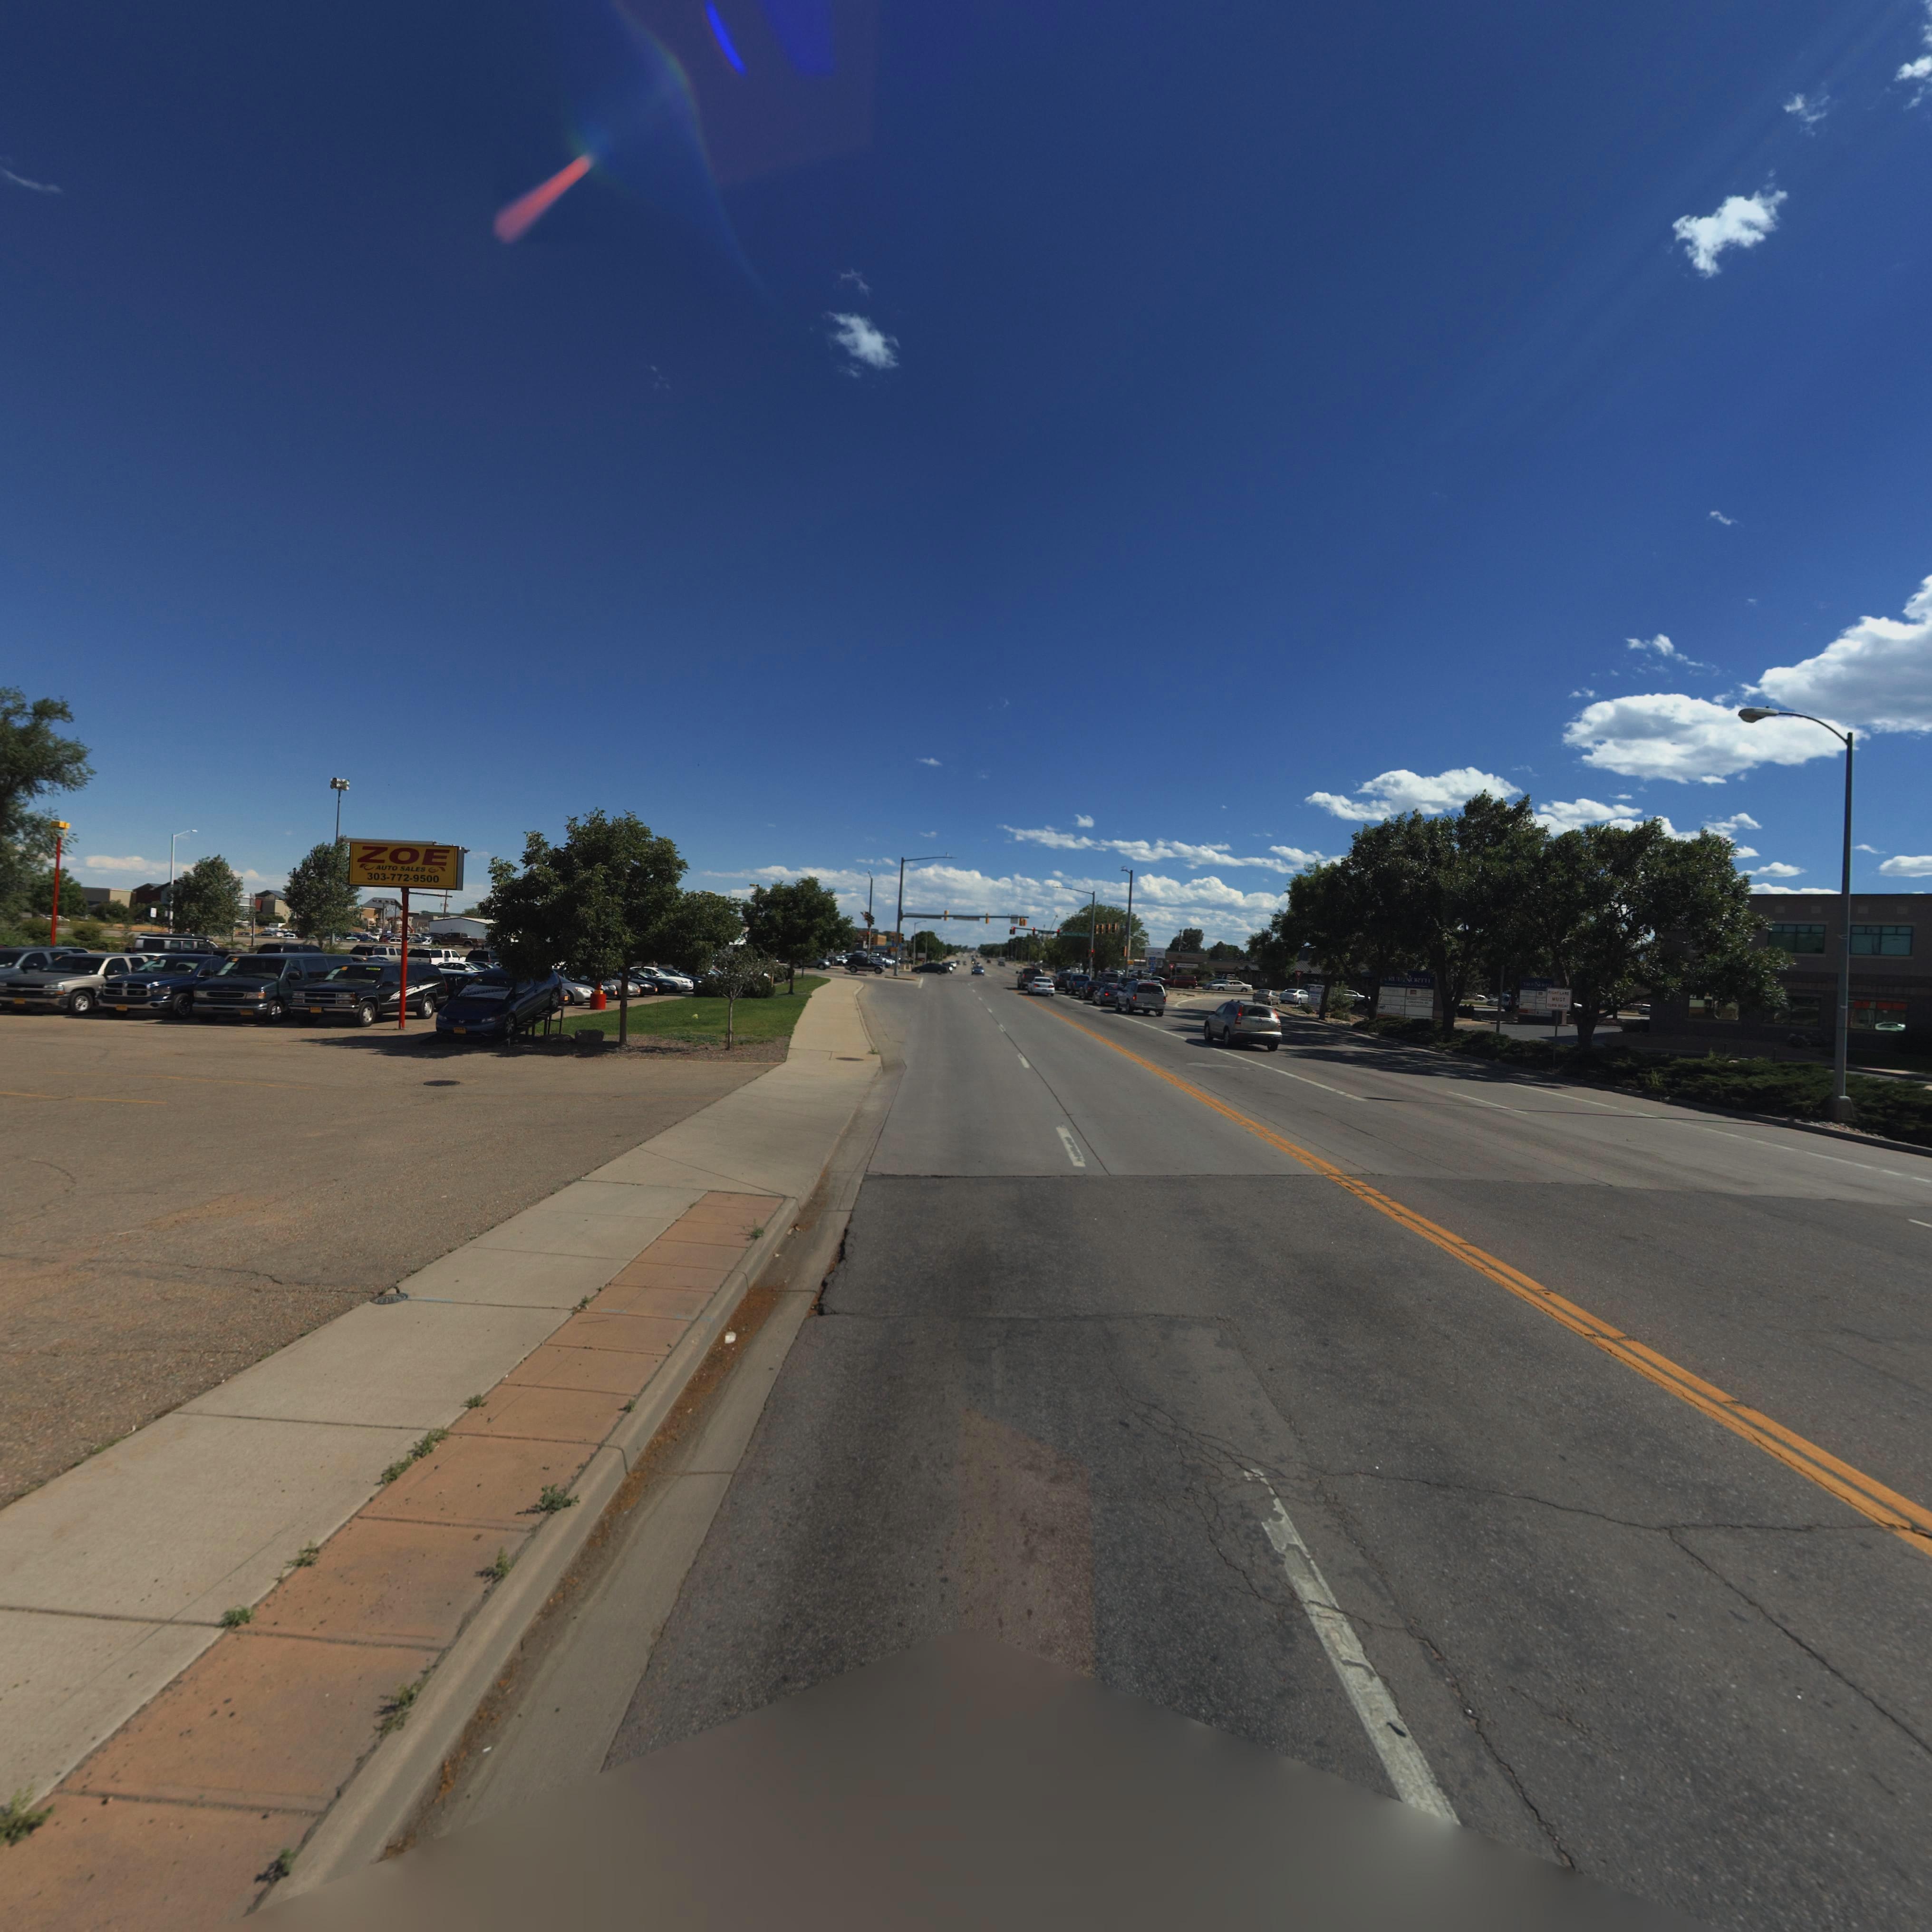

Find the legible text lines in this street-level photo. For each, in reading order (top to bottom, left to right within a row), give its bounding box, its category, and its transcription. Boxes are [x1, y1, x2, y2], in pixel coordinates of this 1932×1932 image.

[357, 845, 450, 866] BusinessName: ZOE
[375, 865, 426, 872] BusinessName: AUTO SALES